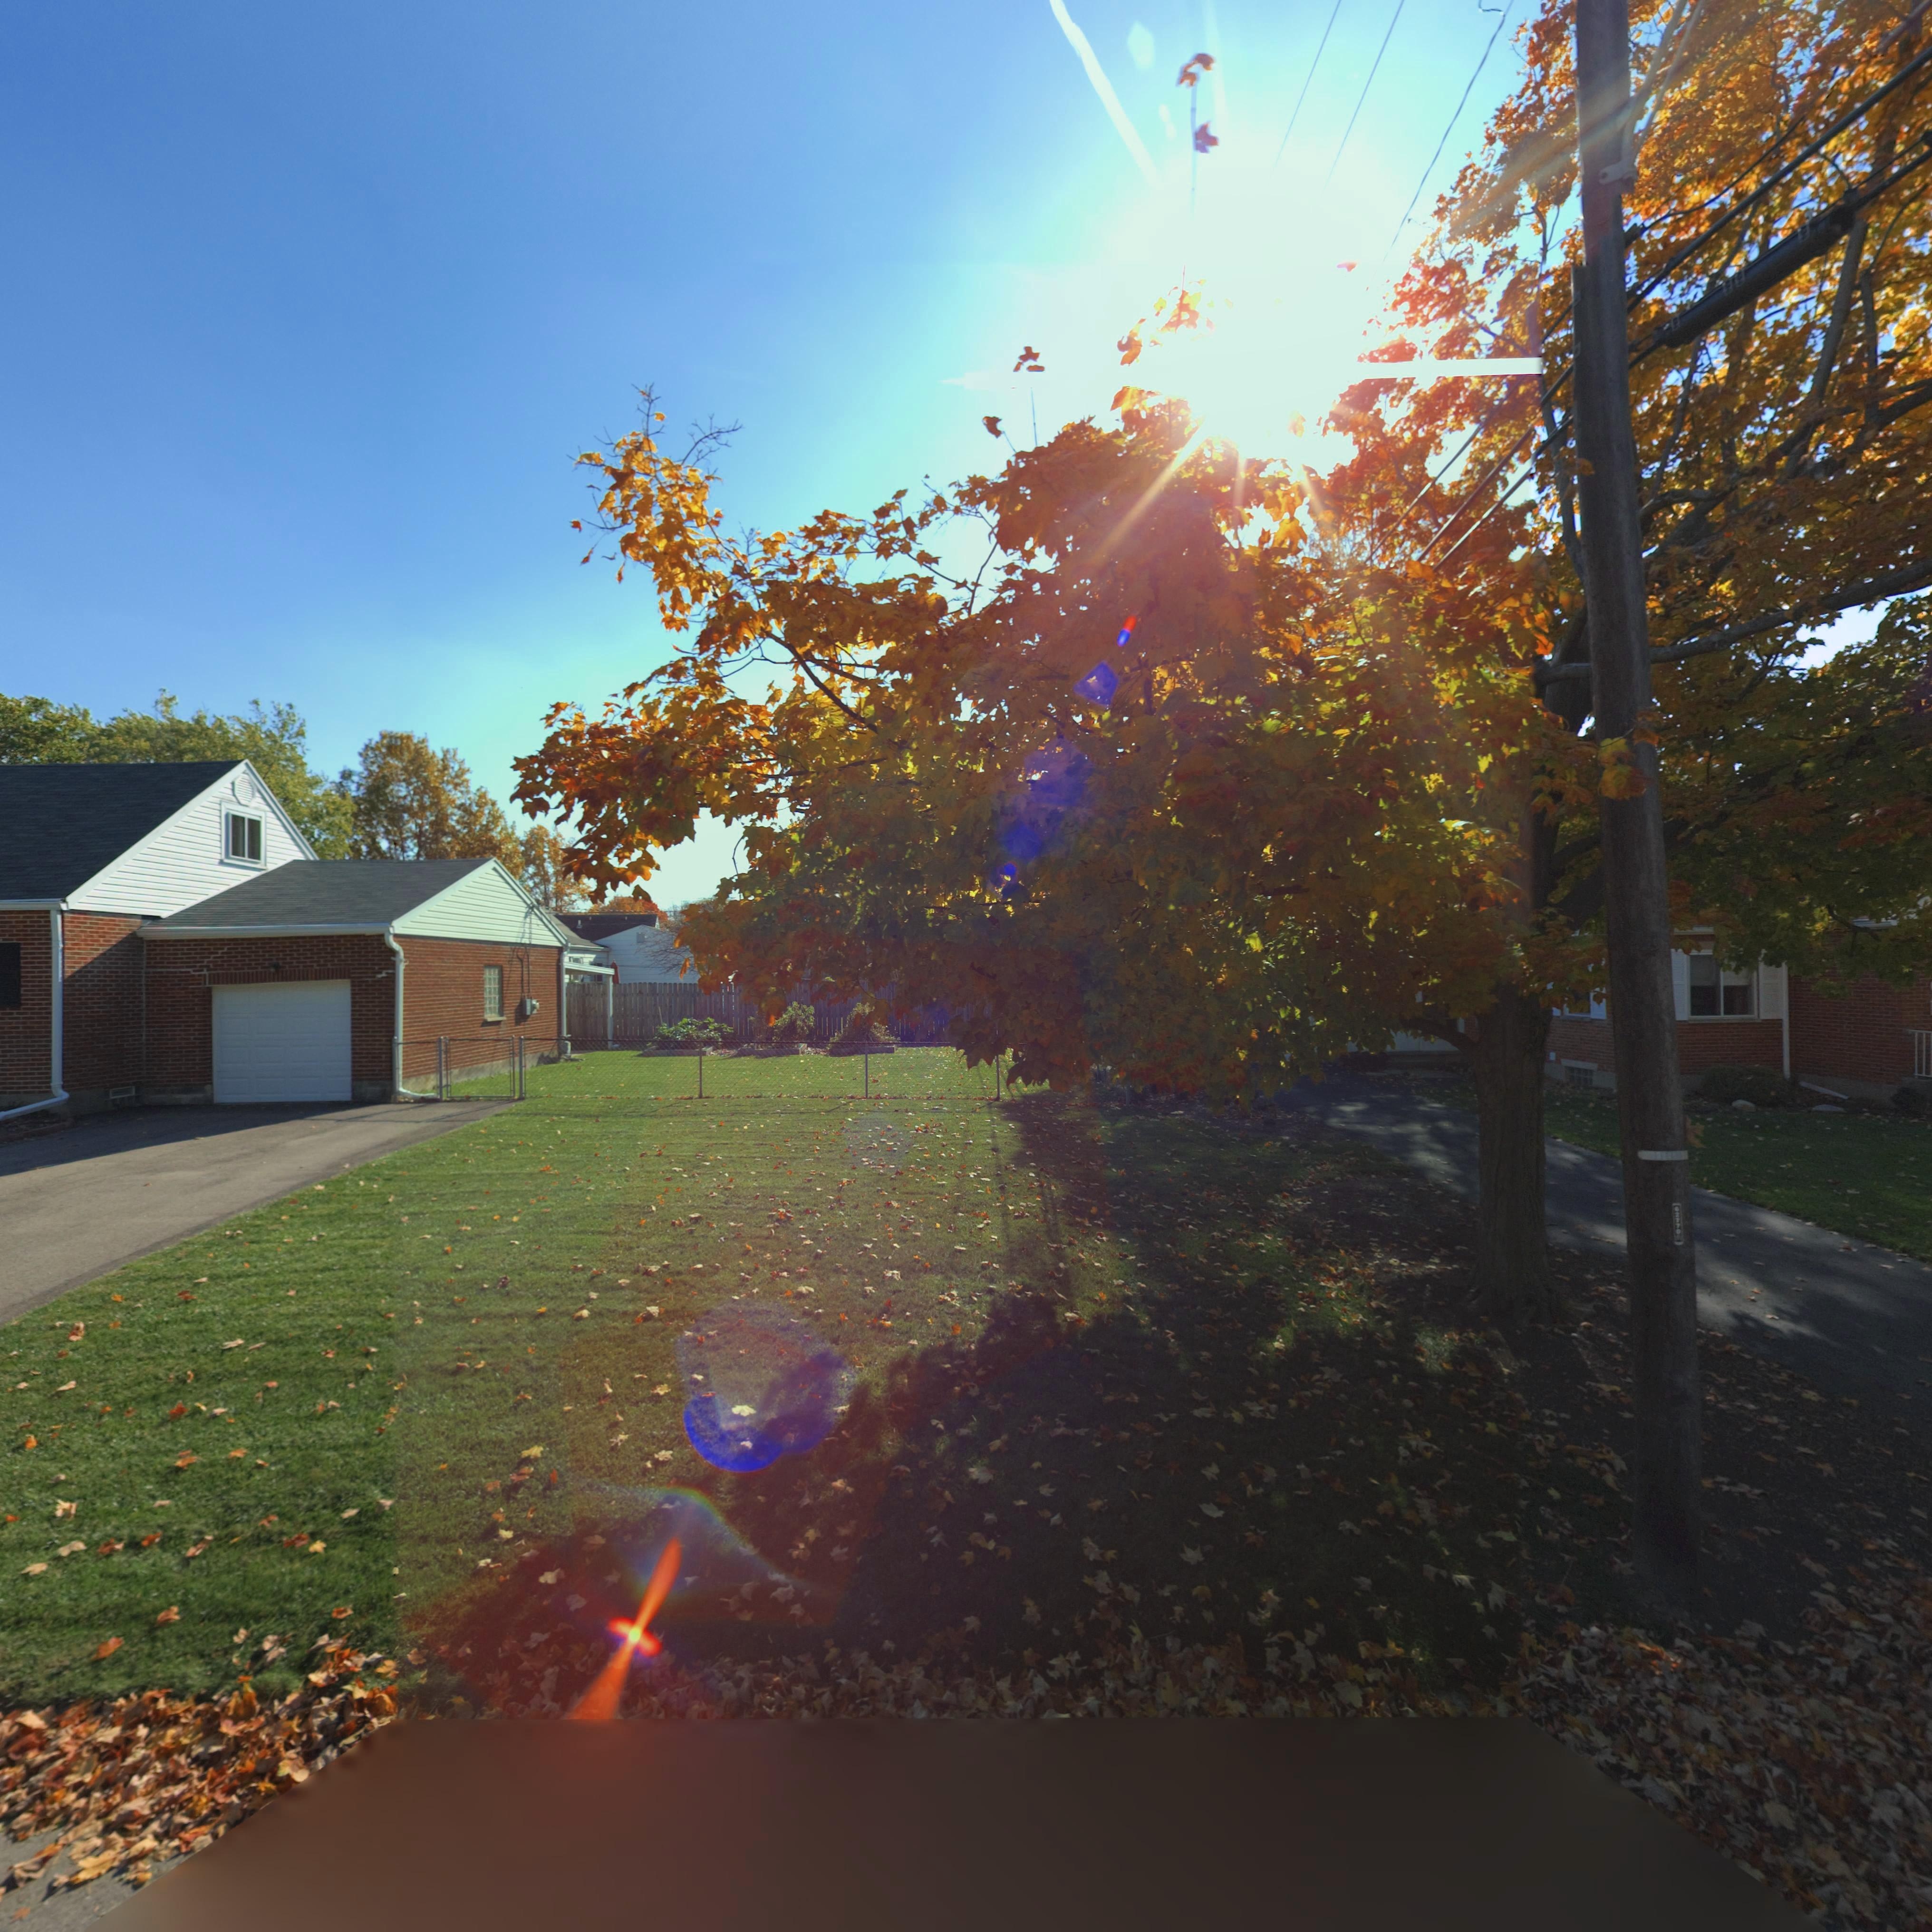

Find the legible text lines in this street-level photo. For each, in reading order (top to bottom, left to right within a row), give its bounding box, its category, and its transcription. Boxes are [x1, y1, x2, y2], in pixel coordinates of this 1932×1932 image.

[1674, 1206, 1681, 1235] None: 62770